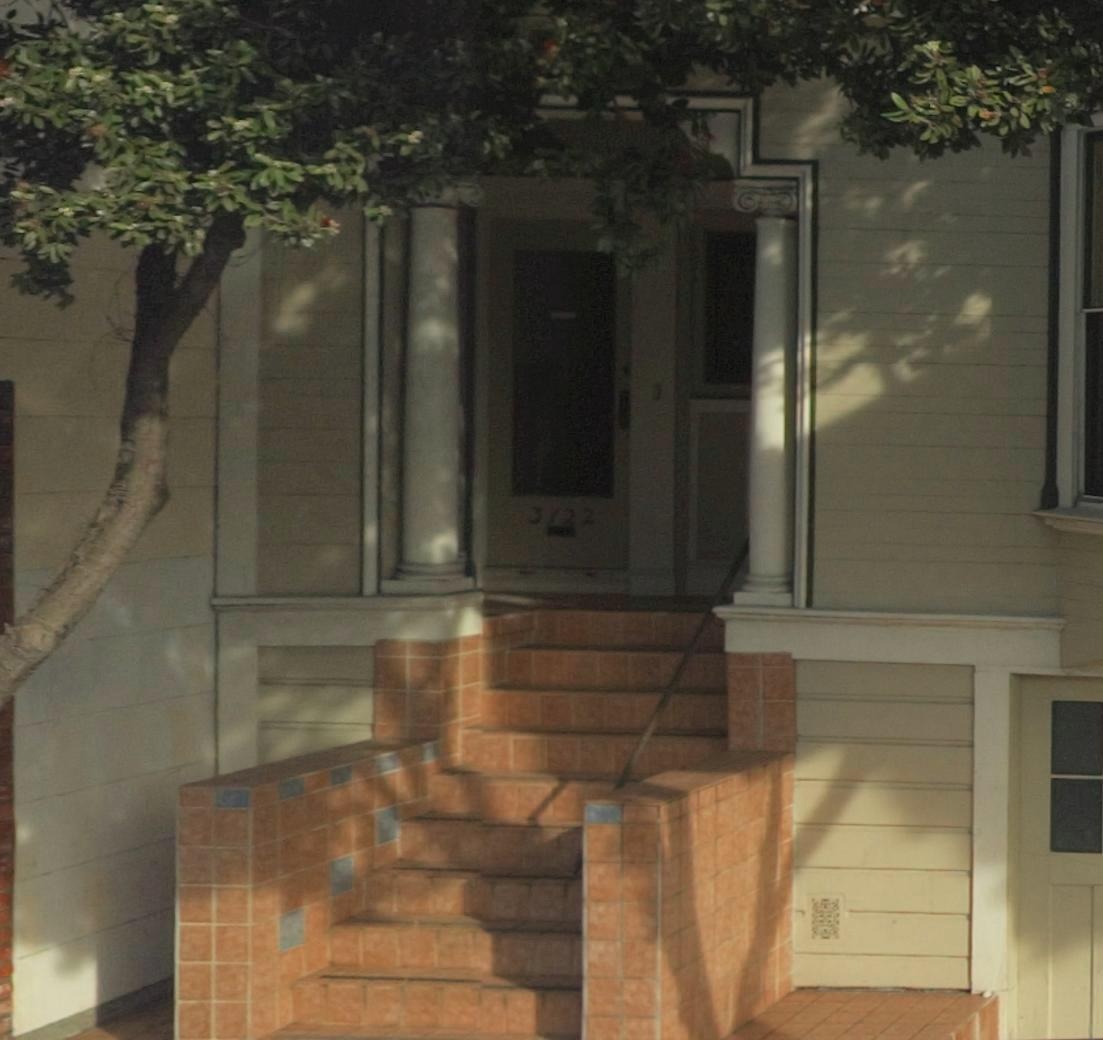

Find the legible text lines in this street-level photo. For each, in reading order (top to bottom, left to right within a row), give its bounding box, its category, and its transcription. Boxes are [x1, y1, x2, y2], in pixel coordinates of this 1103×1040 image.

[526, 504, 596, 527] StreetNumber: 3122